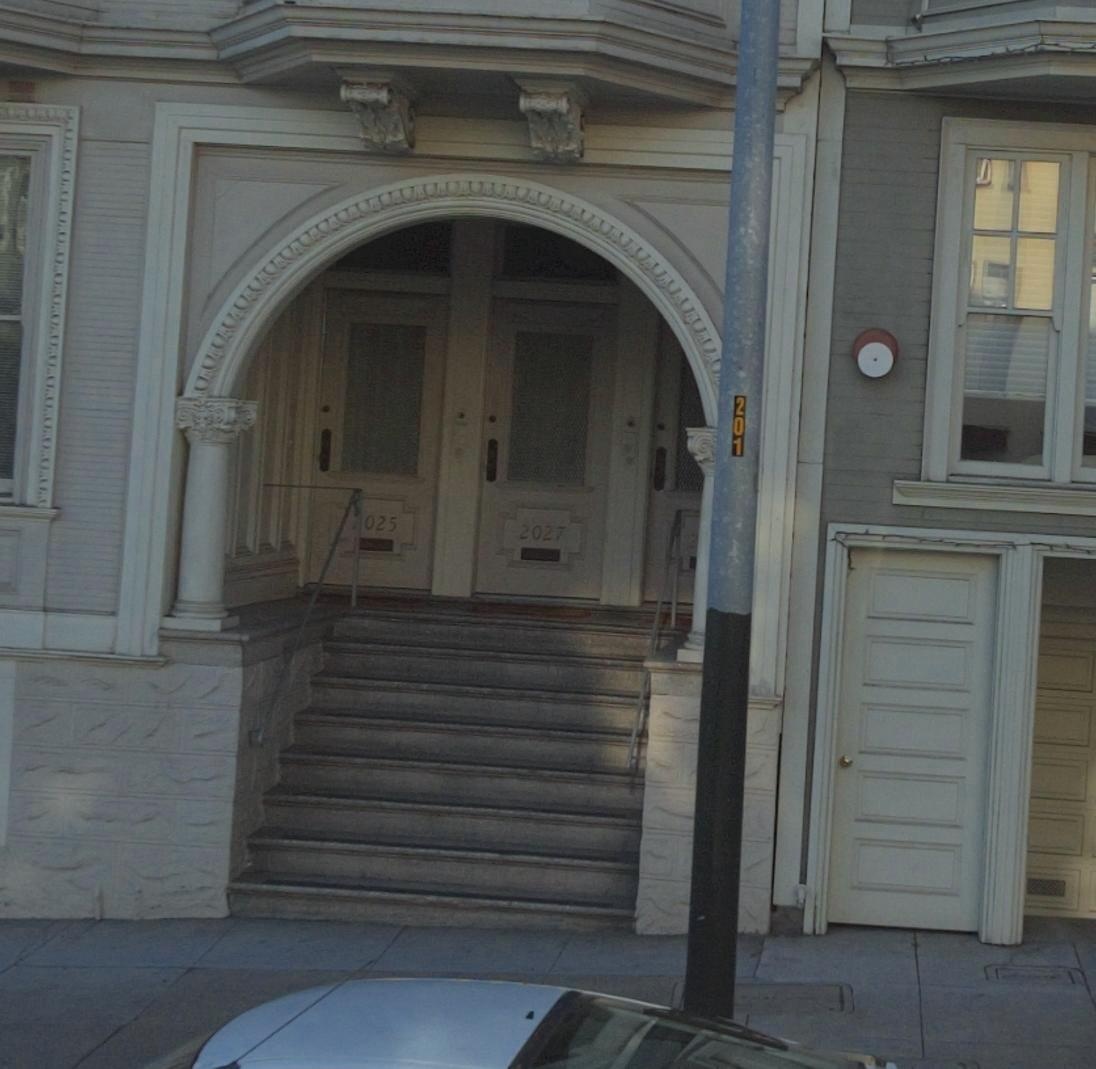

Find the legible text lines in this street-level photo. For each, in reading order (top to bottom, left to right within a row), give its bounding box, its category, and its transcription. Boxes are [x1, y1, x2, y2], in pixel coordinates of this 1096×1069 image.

[732, 395, 746, 457] None: 201
[363, 512, 399, 534] None: 025
[517, 522, 570, 543] StreetNumber: 2027